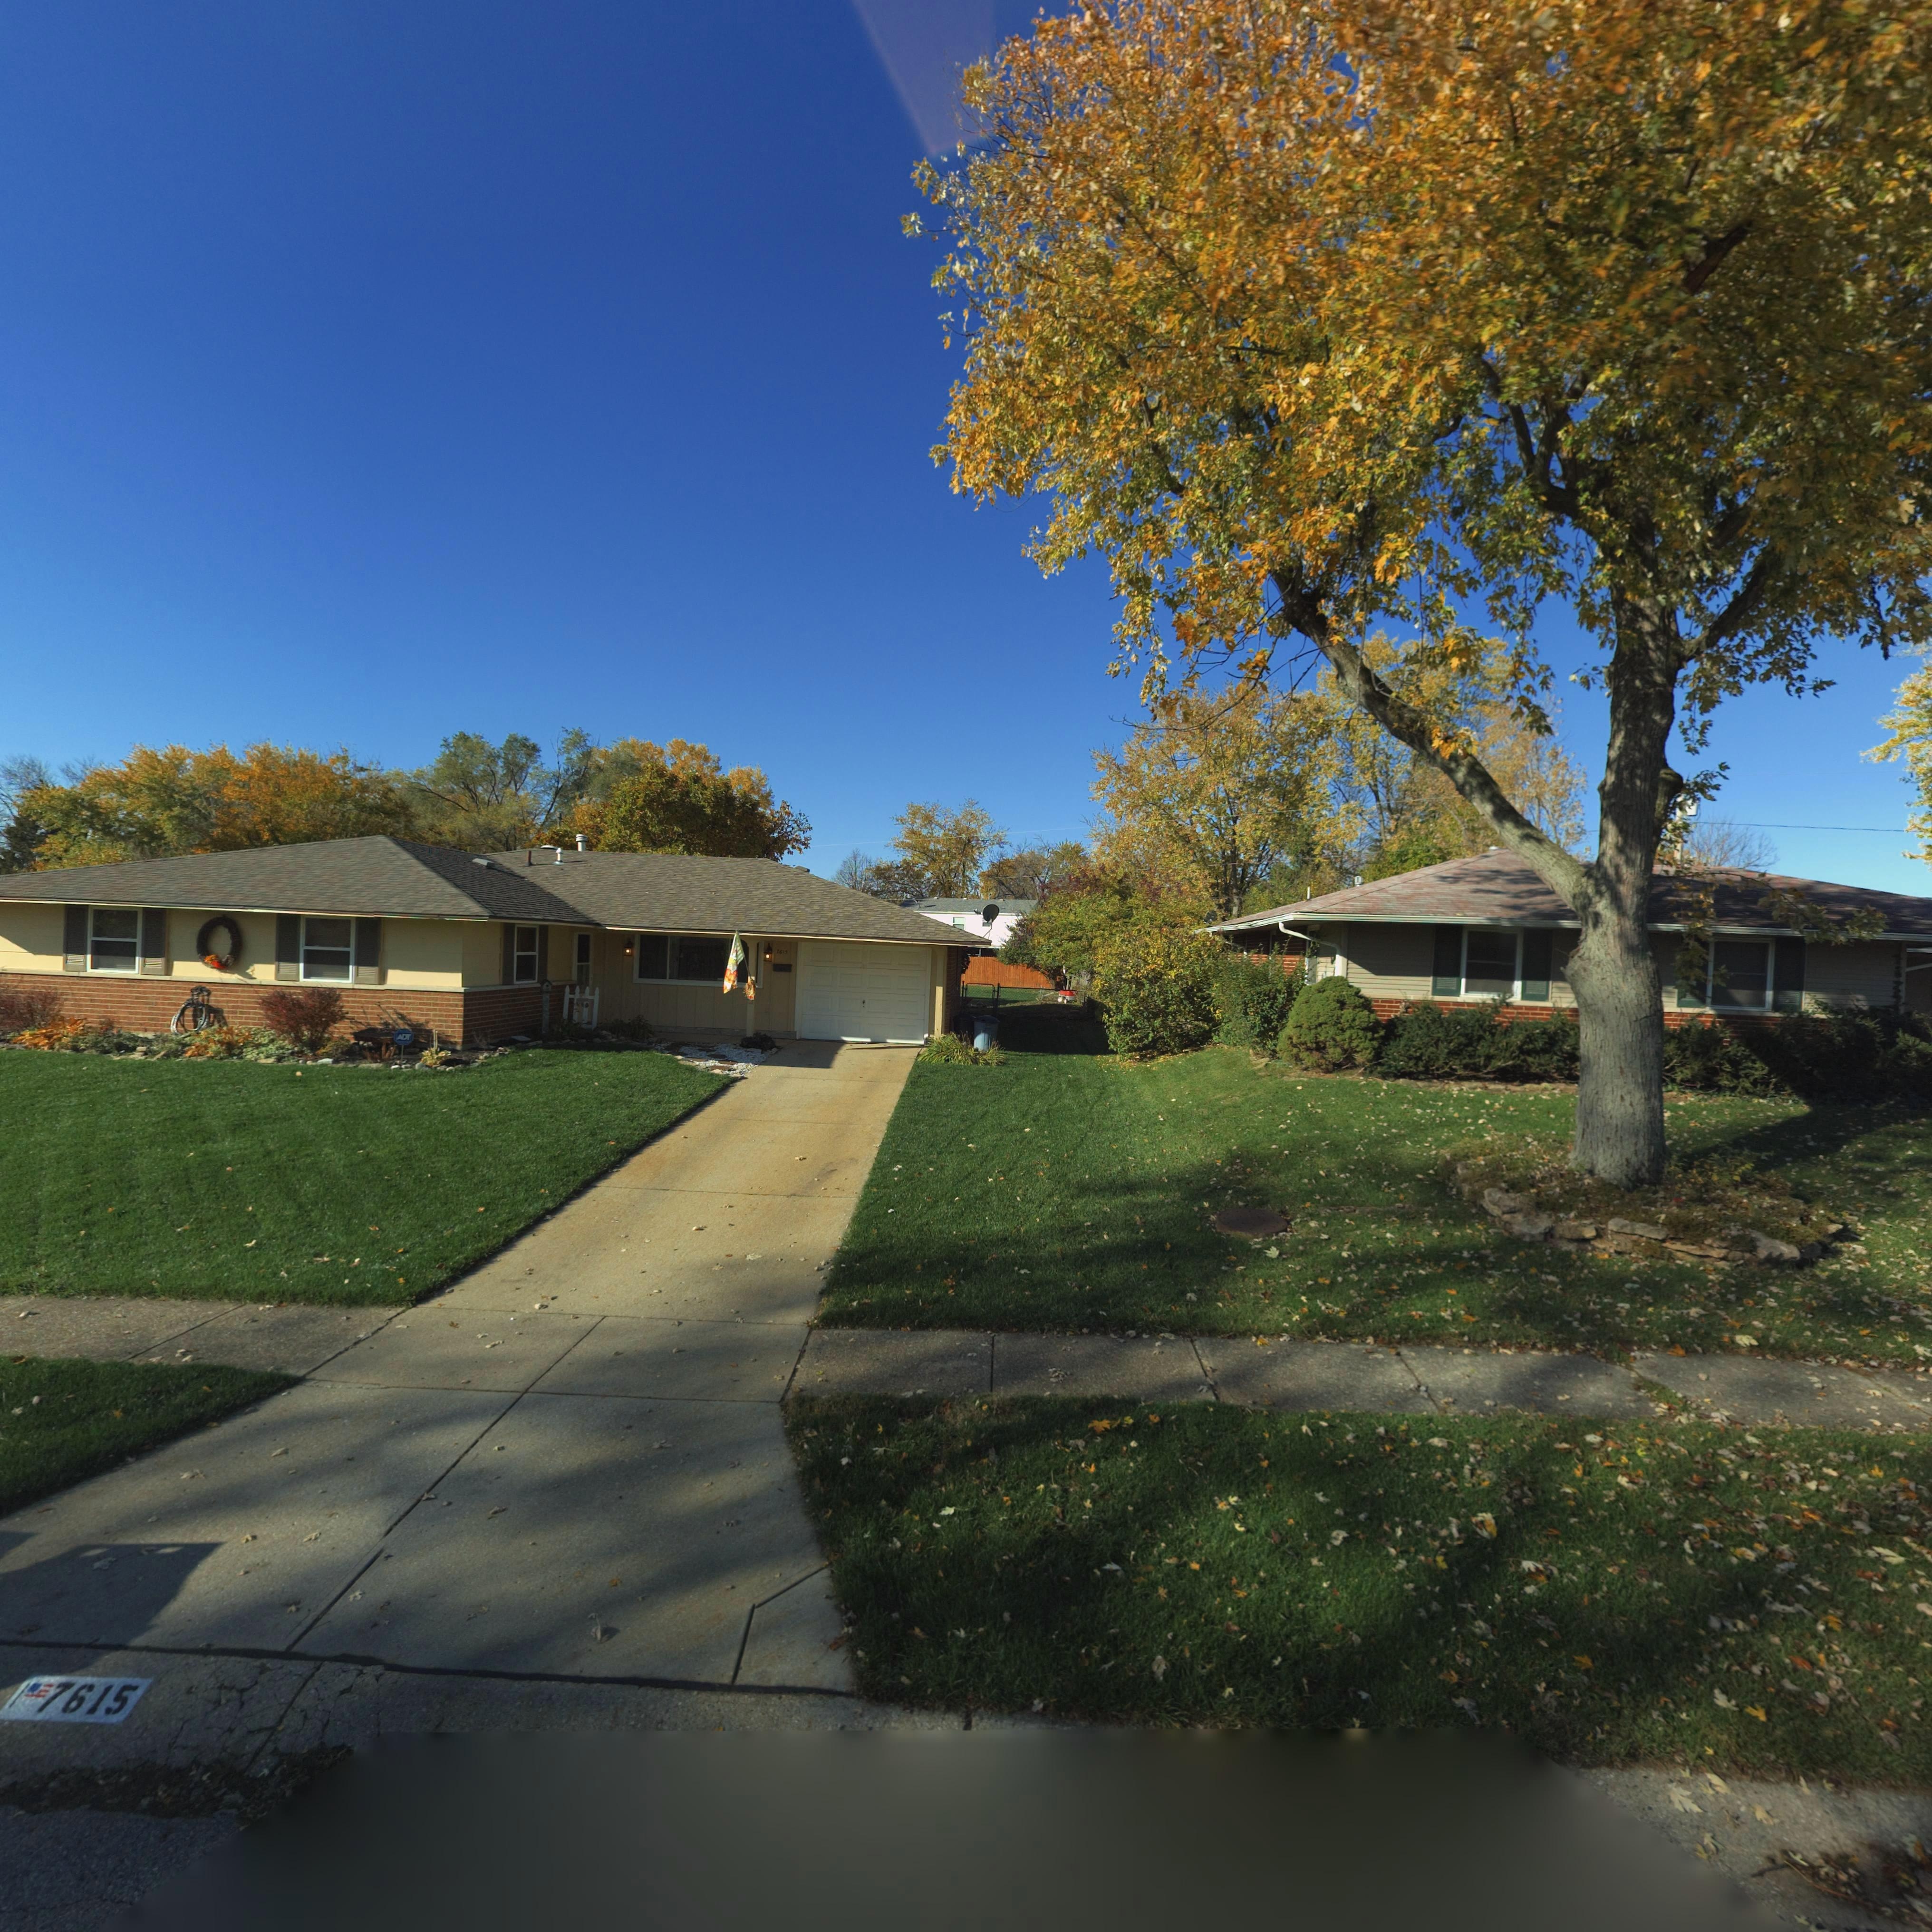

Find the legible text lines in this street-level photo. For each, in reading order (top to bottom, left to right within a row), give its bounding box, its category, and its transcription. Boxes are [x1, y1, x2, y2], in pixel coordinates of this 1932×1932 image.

[775, 948, 789, 956] StreetNumber: 7615
[34, 1679, 141, 1718] StreetNumber: 7615